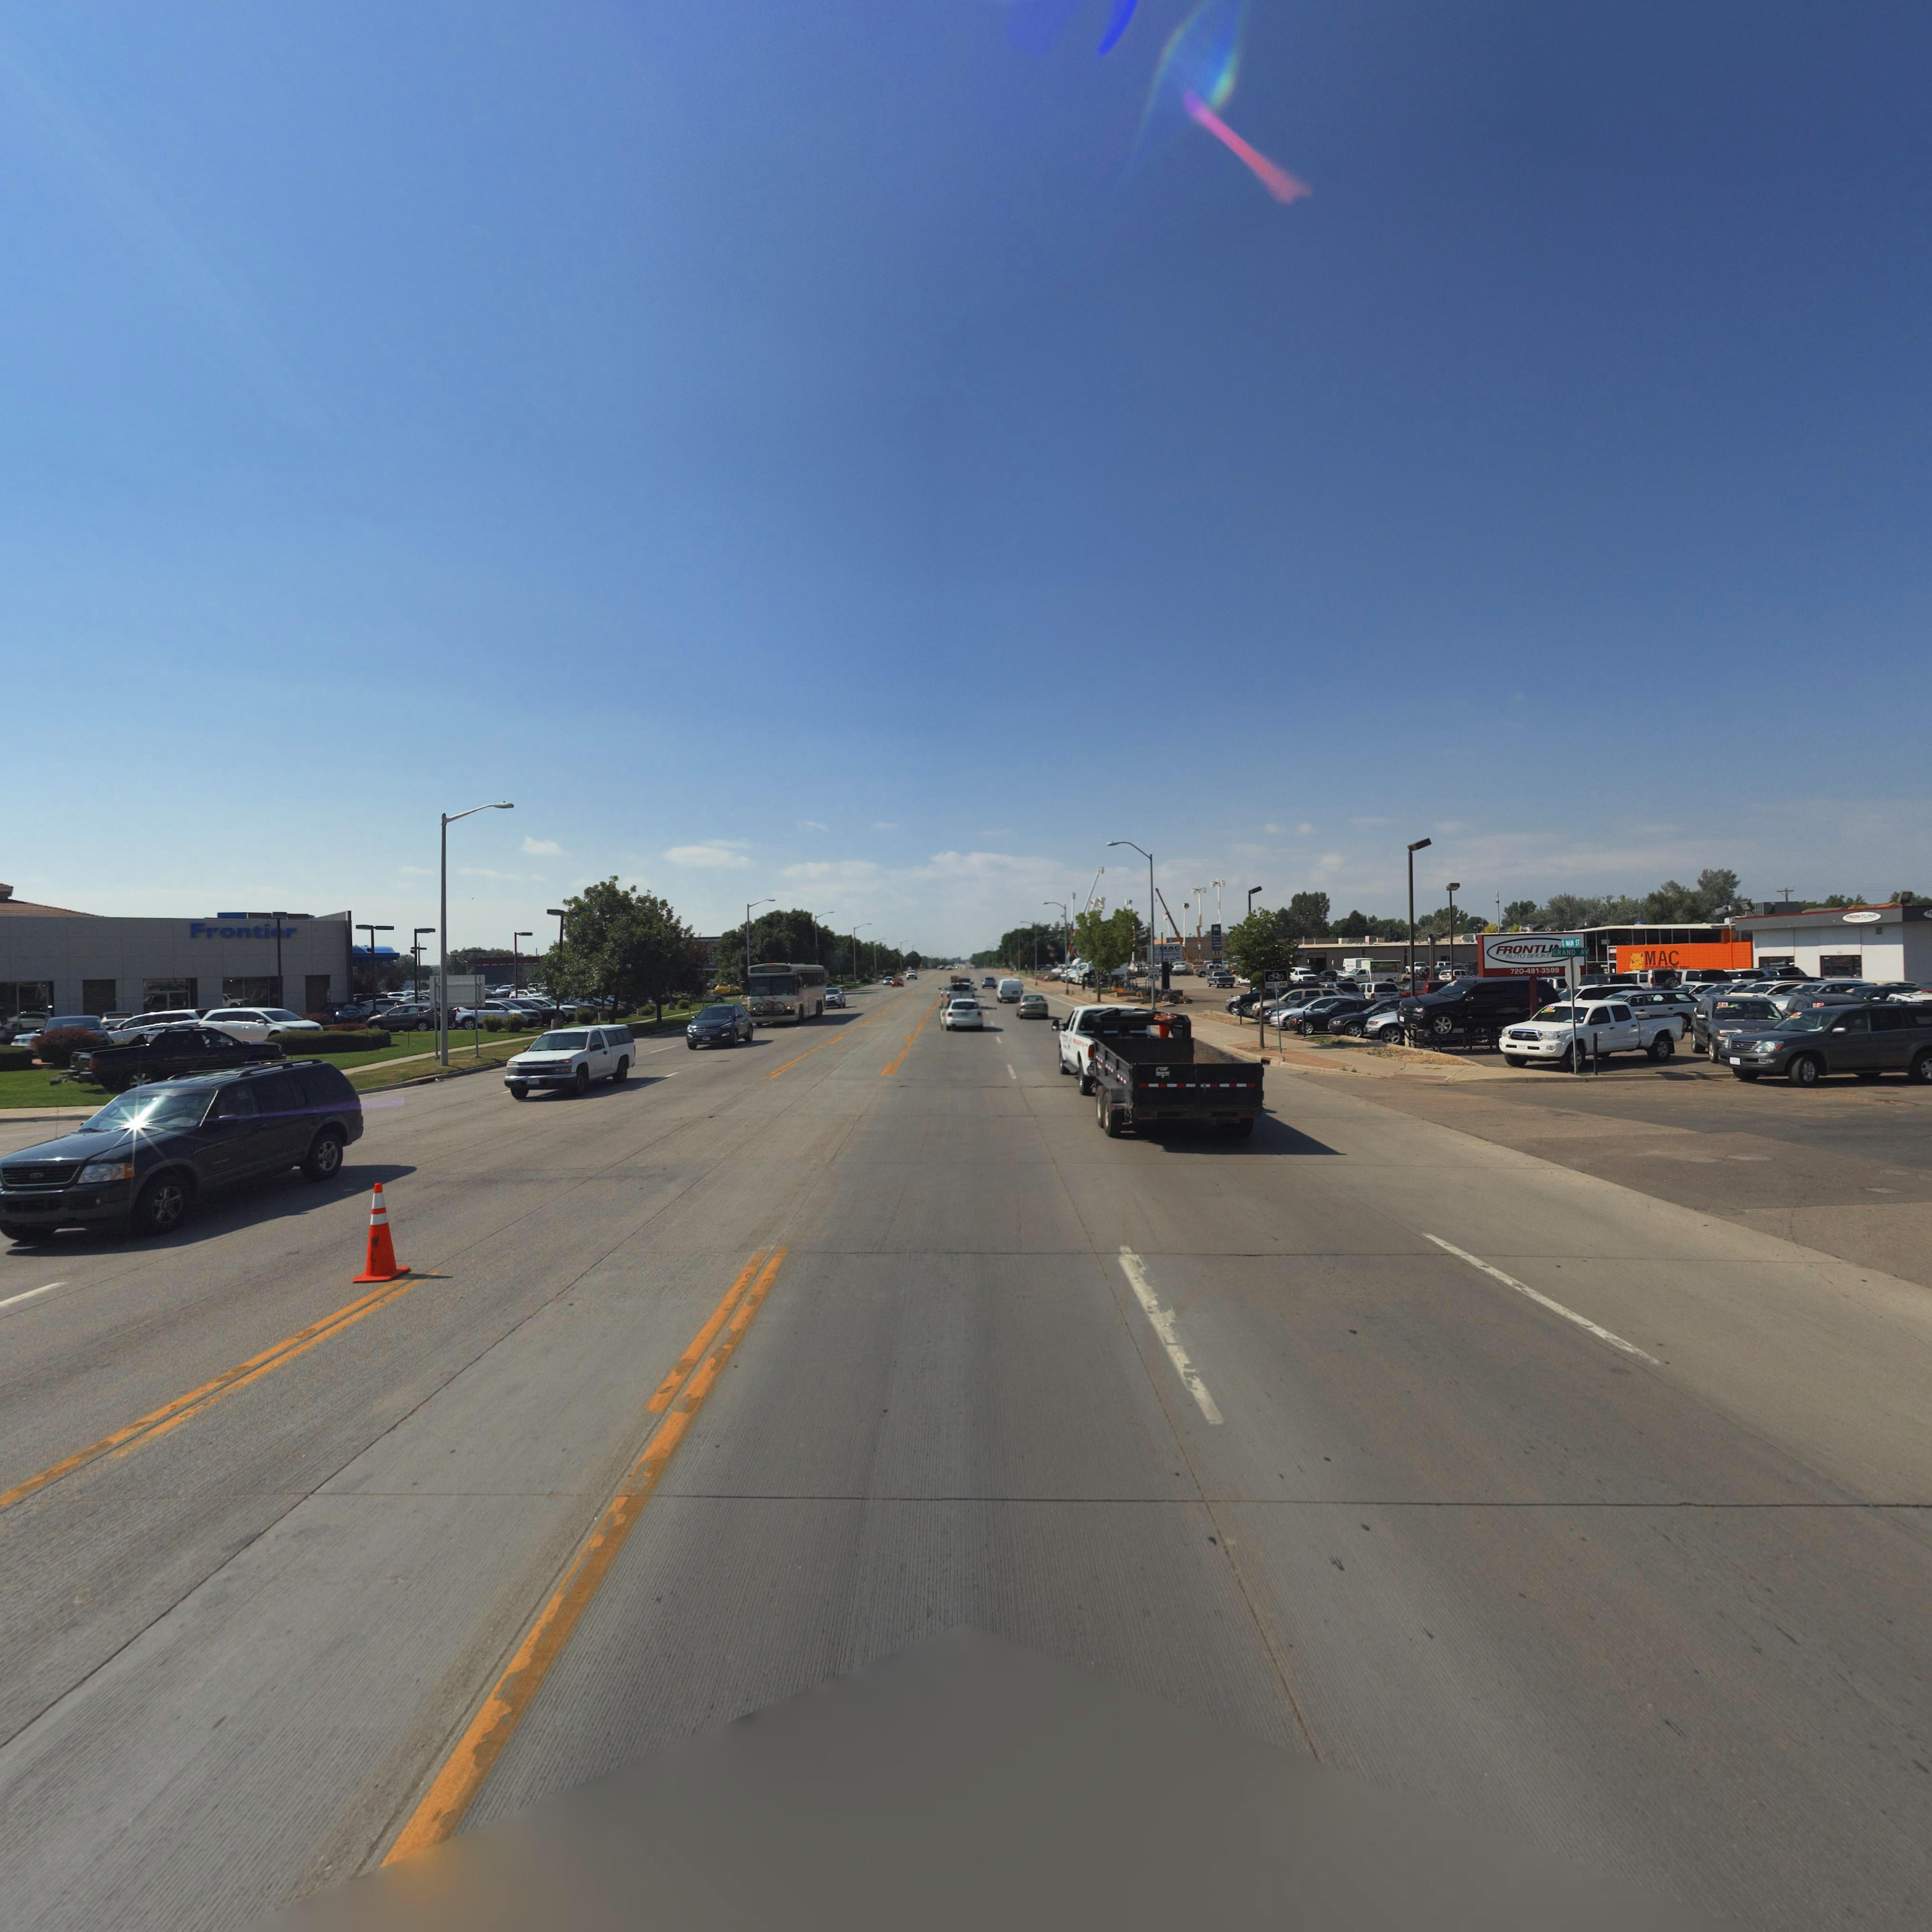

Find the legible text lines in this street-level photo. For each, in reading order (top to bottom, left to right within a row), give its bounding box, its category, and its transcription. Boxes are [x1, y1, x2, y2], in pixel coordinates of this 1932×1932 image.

[190, 922, 298, 939] BusinessName: Fronti*r
[1561, 938, 1580, 947] StreetName: S **** ST
[1159, 946, 1180, 950] BusinessName: *AC
[1495, 944, 1554, 954] BusinessName: FRONTLI
[1505, 953, 1551, 958] BusinessName: AUTO BROKE
[1552, 949, 1589, 956] StreetName: GRAND AV
[1644, 950, 1680, 966] BusinessName: MAC